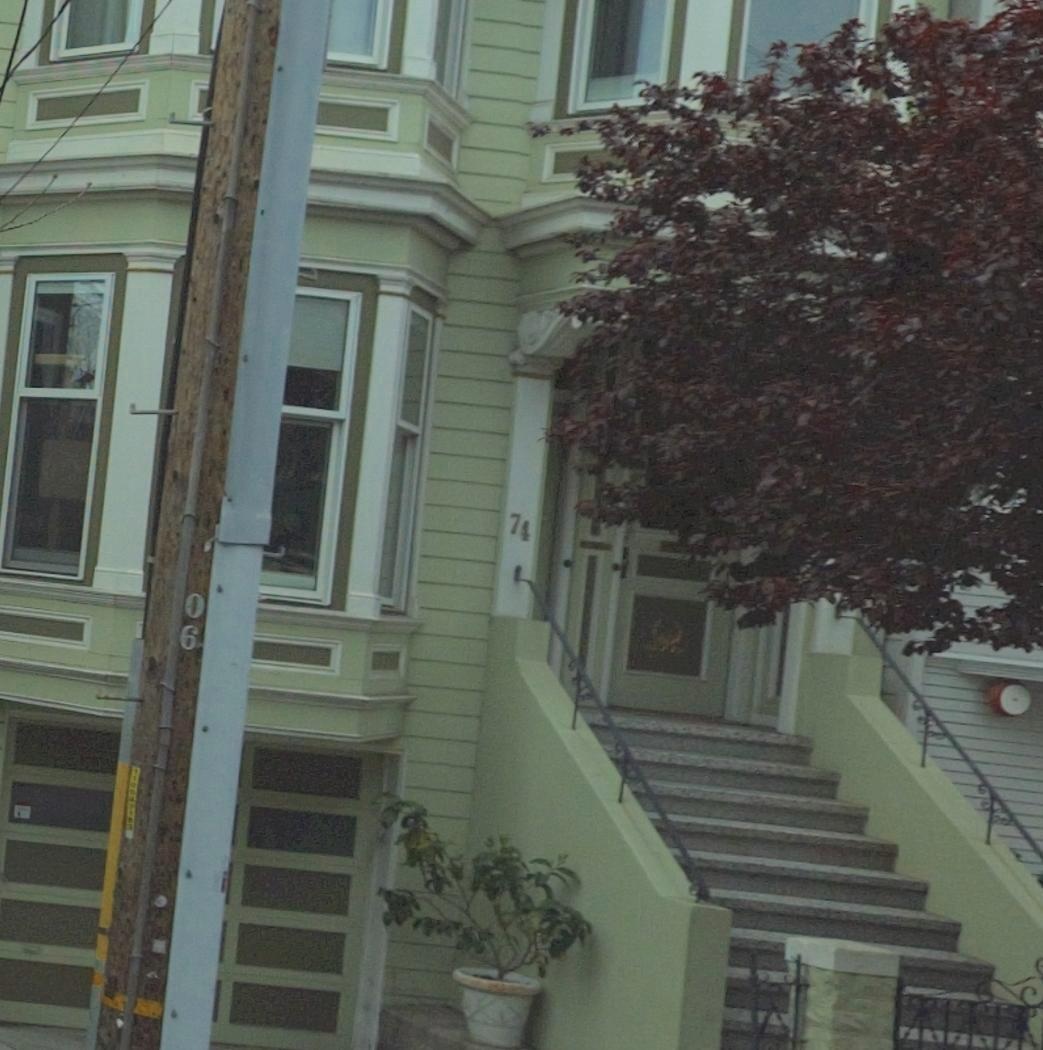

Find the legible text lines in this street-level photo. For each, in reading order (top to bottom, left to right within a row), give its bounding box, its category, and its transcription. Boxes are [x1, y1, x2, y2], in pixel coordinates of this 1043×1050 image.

[509, 510, 531, 545] StreetNumber: 74
[178, 592, 207, 652] None: 06
[126, 765, 140, 831] None: 11054*103